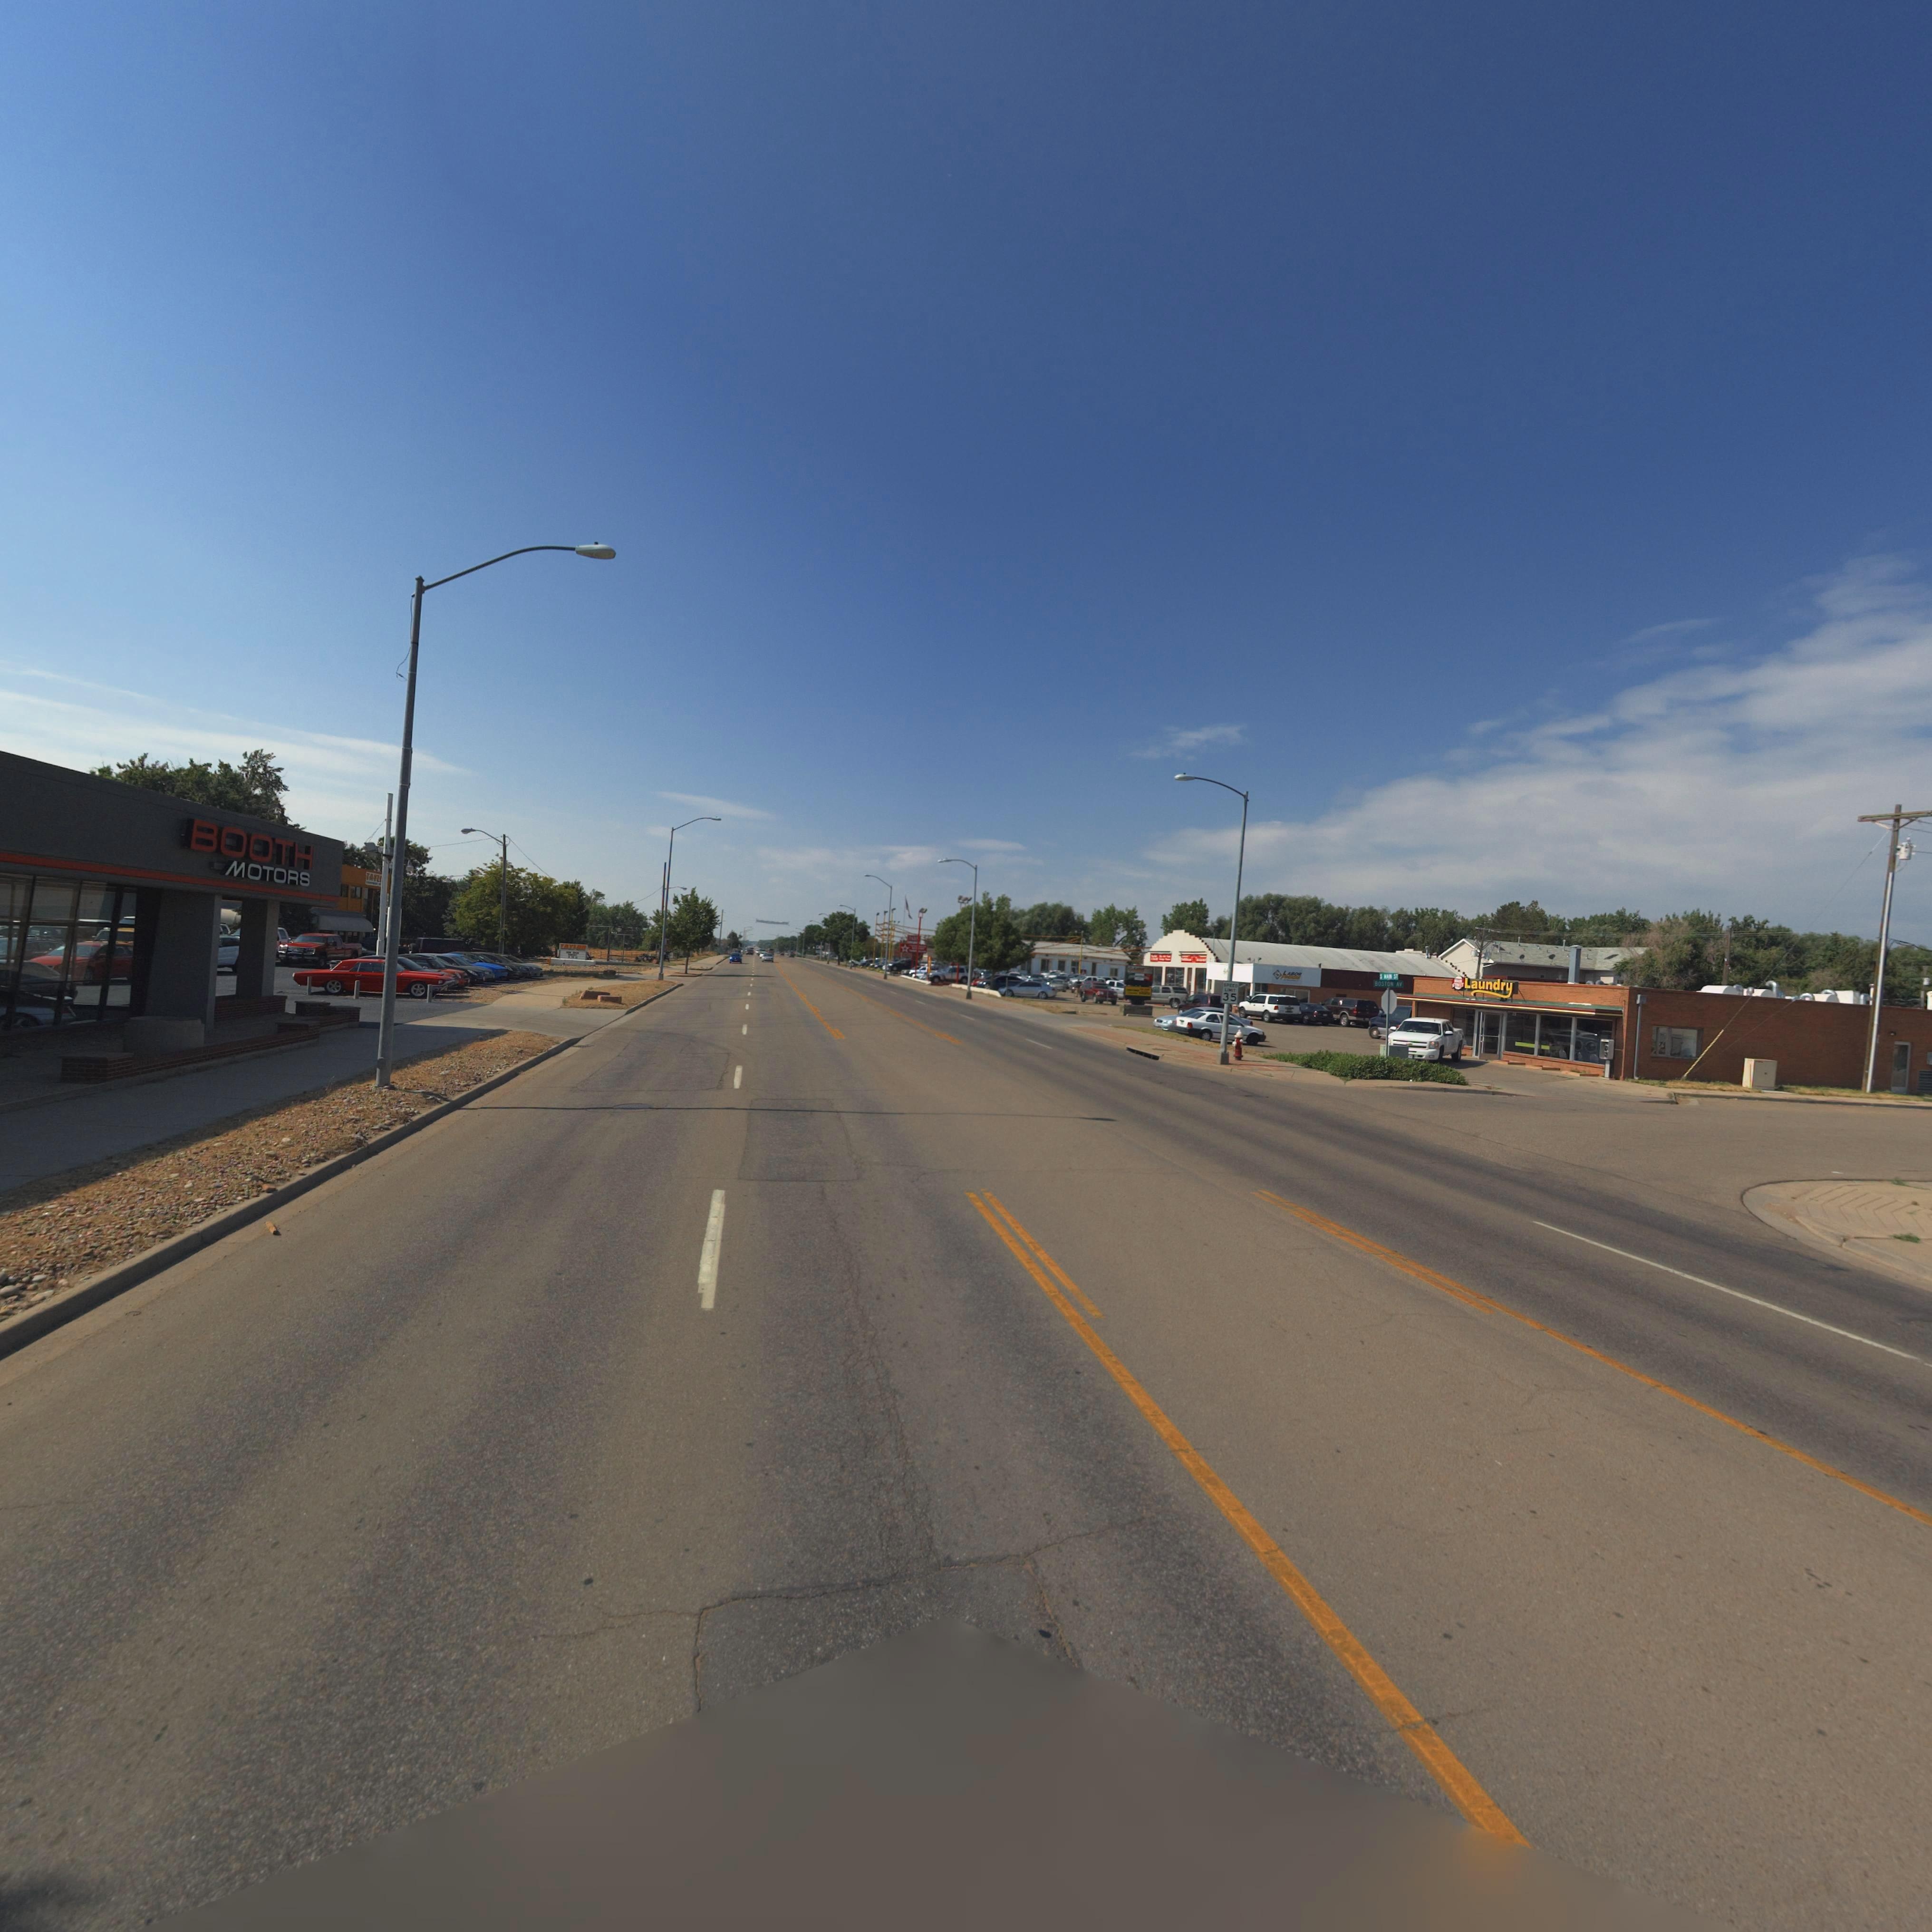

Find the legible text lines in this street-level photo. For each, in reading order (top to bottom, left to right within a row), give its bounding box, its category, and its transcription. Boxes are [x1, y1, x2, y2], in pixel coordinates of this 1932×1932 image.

[189, 819, 314, 871] BusinessName: BOOTH
[224, 860, 309, 887] BusinessName: MOTORS
[366, 872, 382, 882] BusinessName: TAYL*
[560, 943, 586, 949] BusinessName: TAYLOR
[1133, 967, 1145, 970] BusinessName: L****
[1283, 970, 1302, 976] BusinessName: LABOR
[1379, 974, 1398, 979] StreetName: S MAIN ST
[1454, 978, 1462, 983] BusinessName: M***
[1374, 981, 1402, 986] StreetName: BOSTON AV
[1451, 982, 1463, 987] BusinessName: S*****
[1464, 977, 1513, 999] BusinessName: lAUNDRY